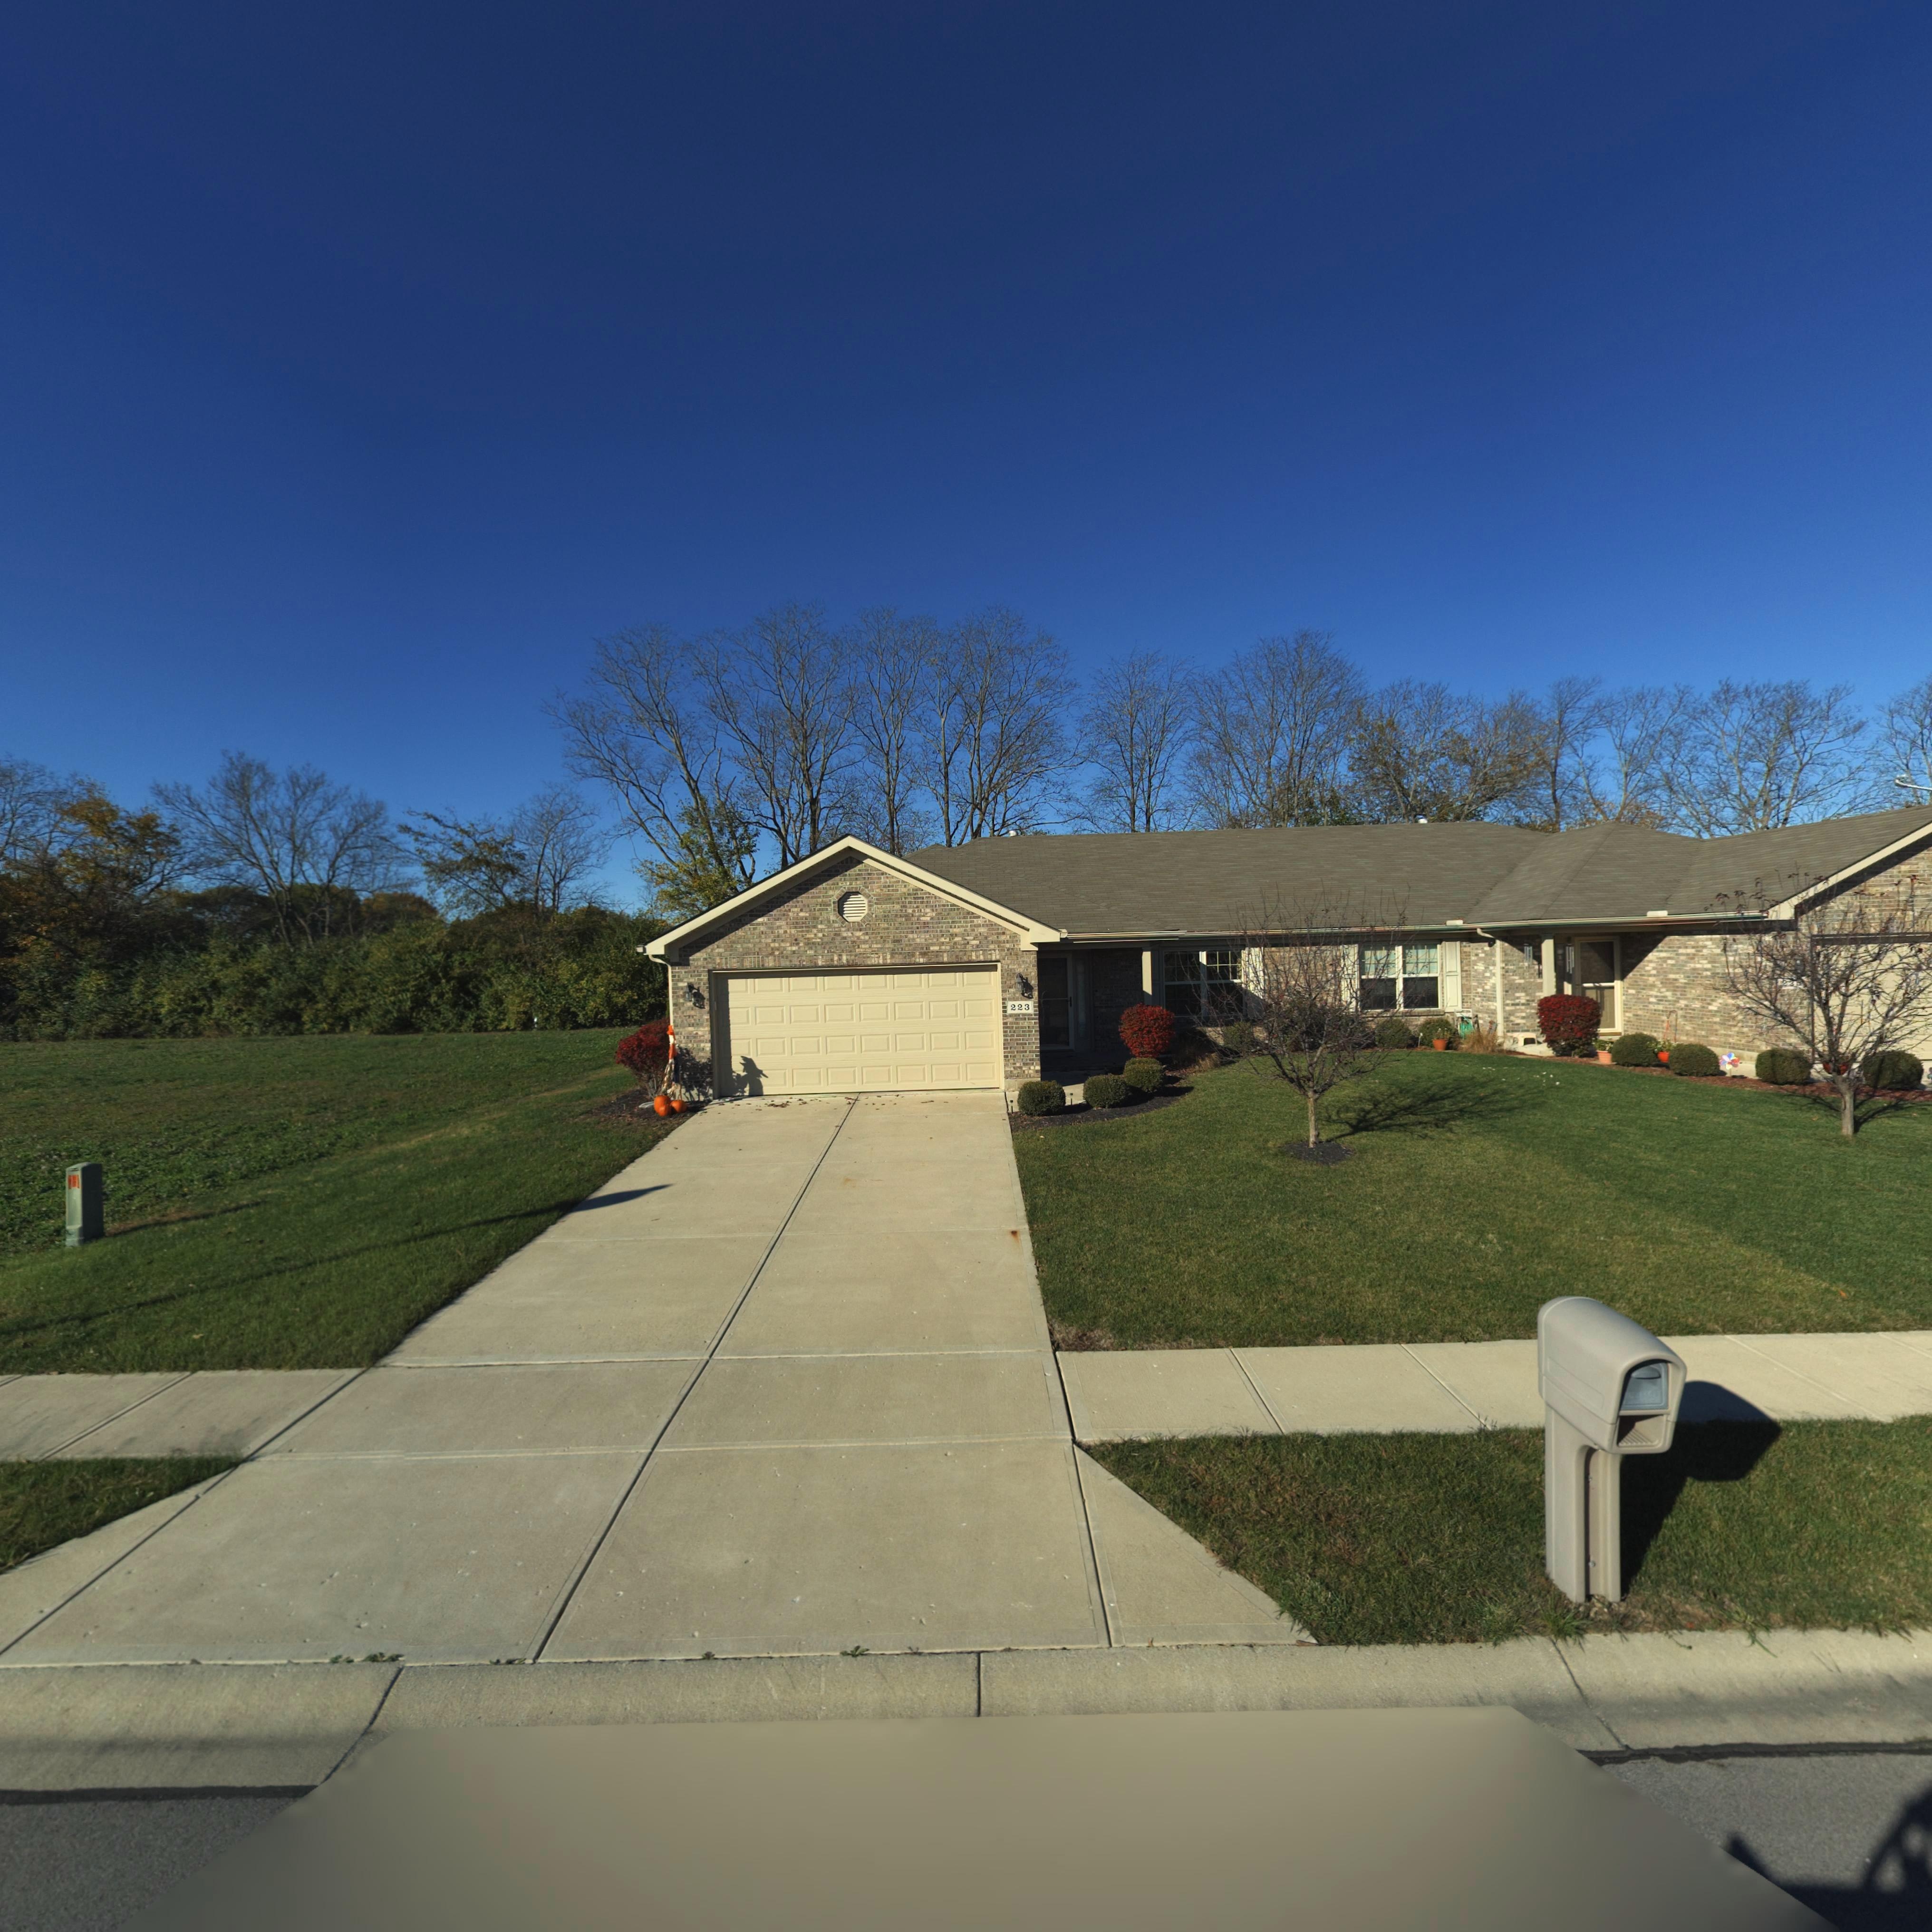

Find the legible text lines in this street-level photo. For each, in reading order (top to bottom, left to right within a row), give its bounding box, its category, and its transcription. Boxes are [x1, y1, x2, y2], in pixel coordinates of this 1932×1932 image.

[1010, 1003, 1031, 1011] StreetNumber: 223